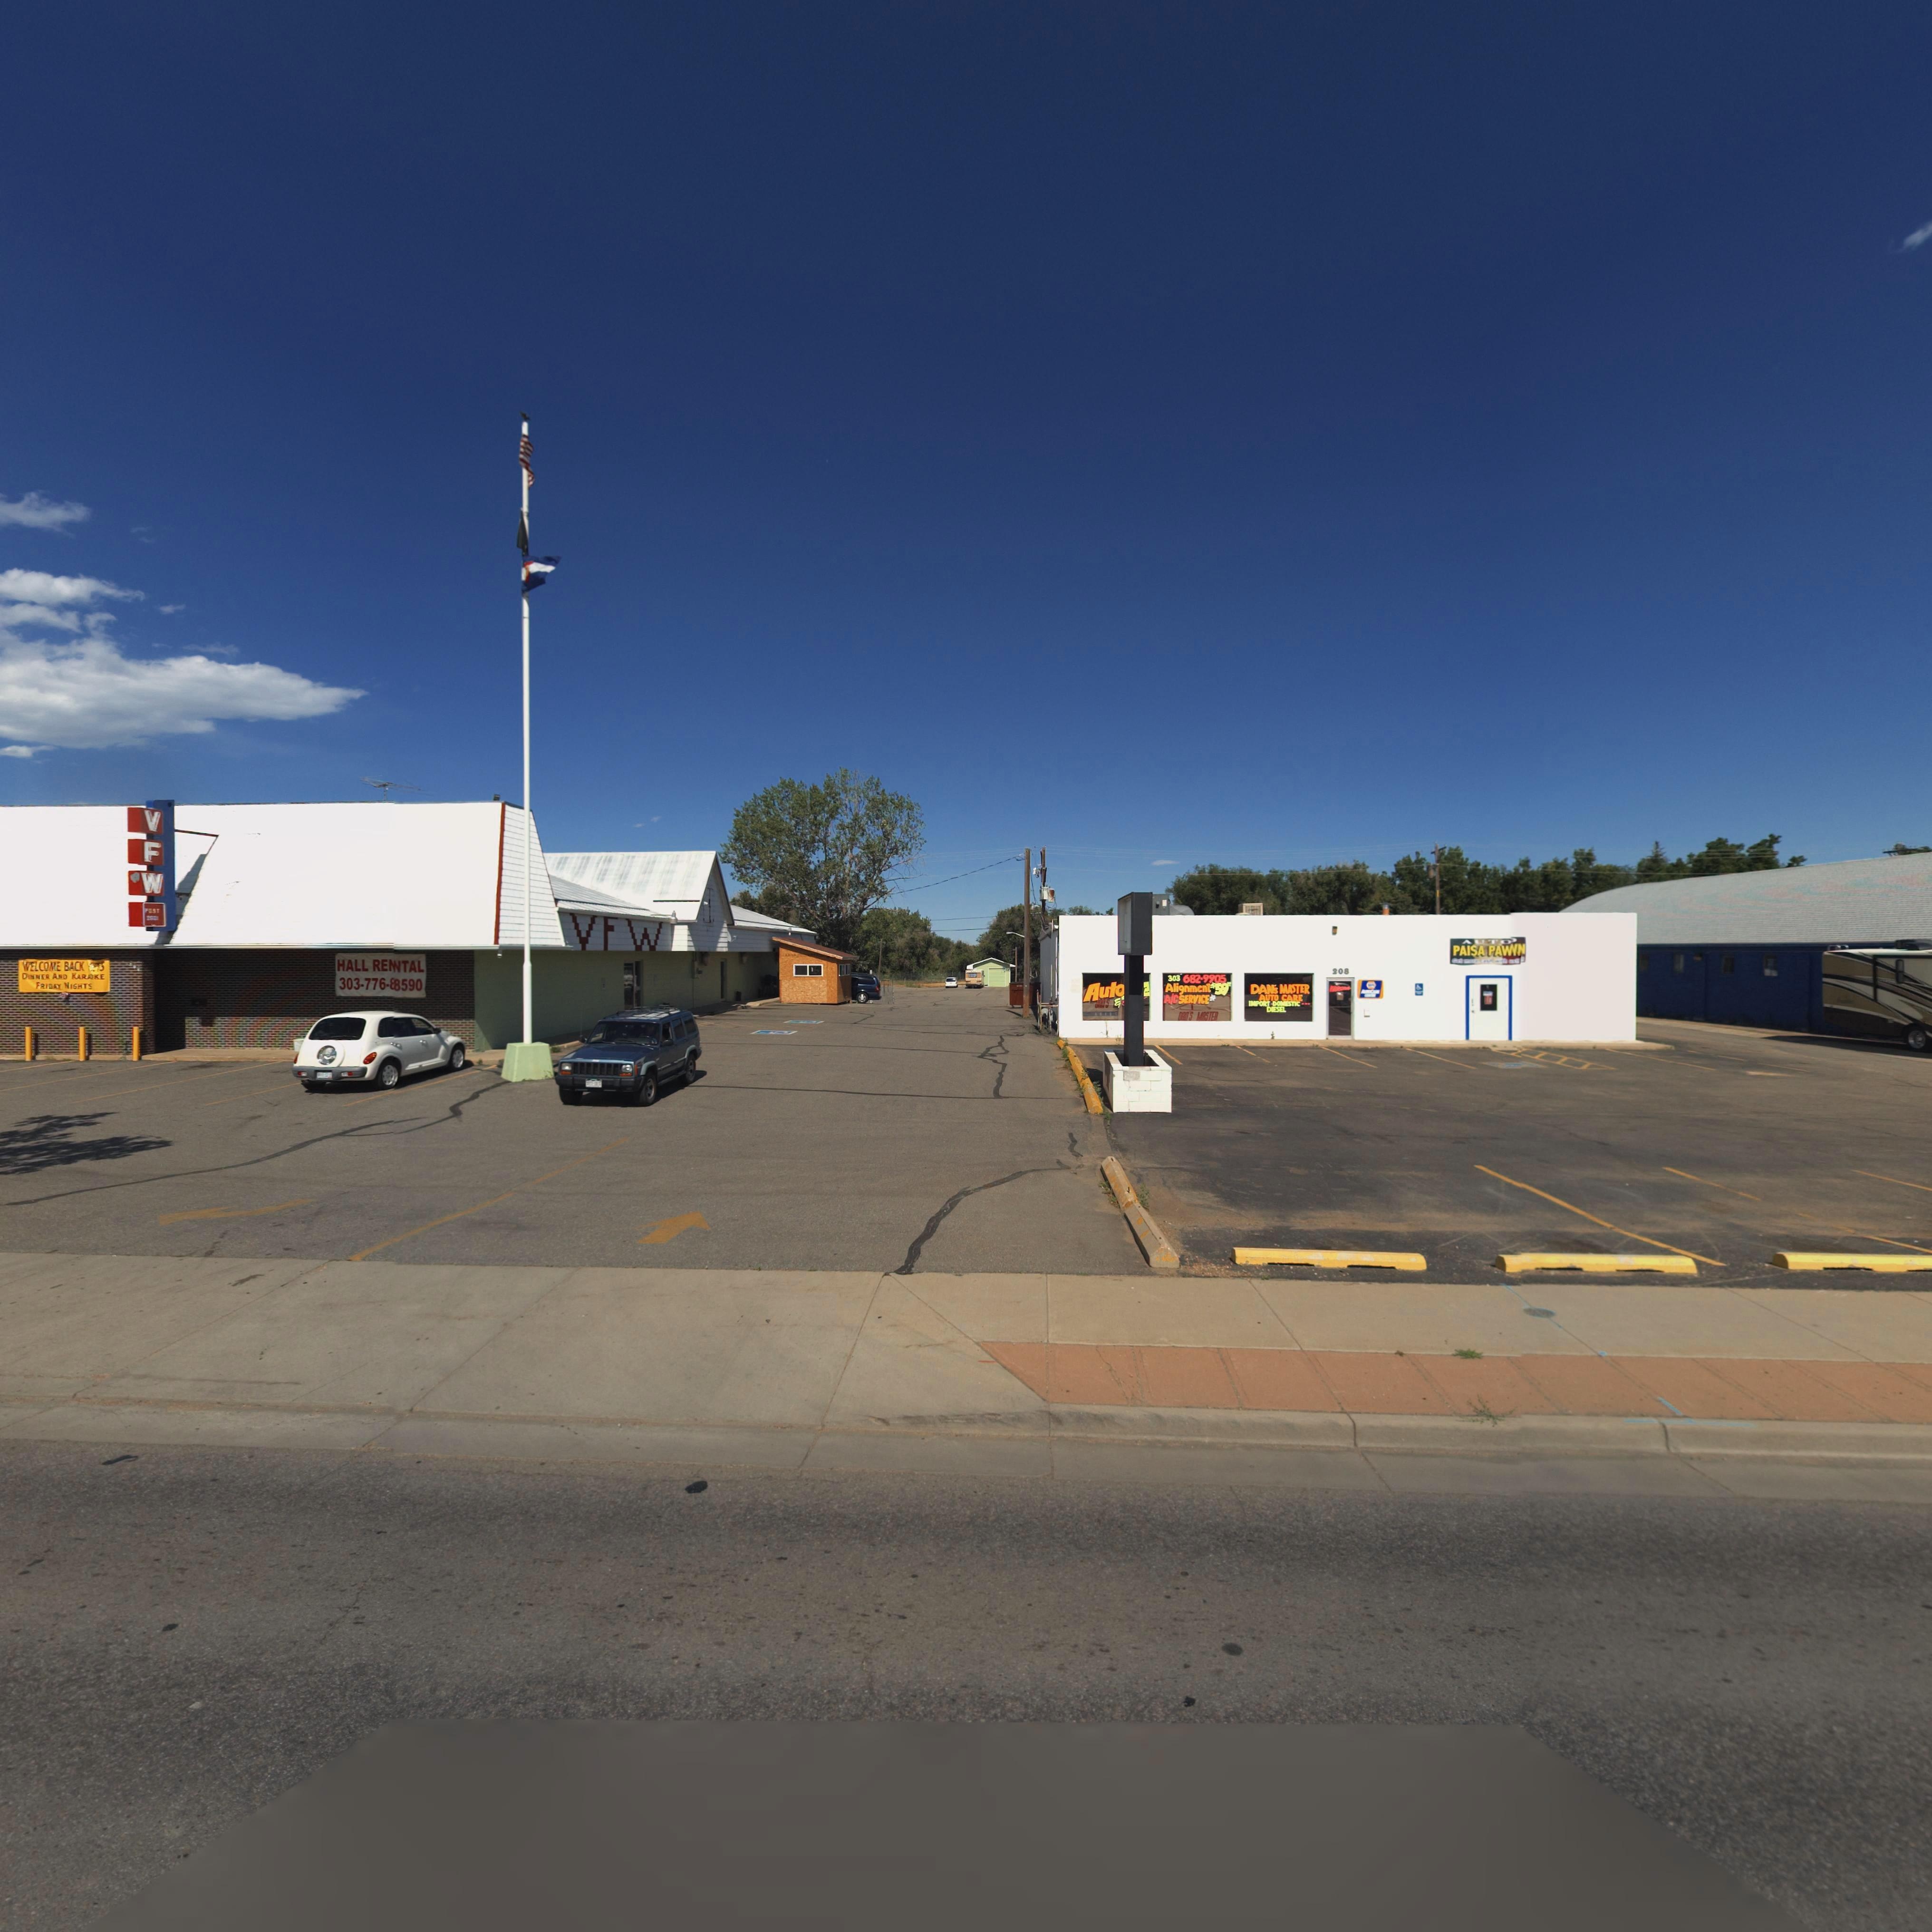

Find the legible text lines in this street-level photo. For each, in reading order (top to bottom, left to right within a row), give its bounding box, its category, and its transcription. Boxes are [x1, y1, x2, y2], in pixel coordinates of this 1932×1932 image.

[140, 809, 164, 894] BusinessName: VFW
[567, 912, 664, 952] BusinessName: VFW
[1332, 968, 1349, 975] StreetNumber: 208
[1249, 983, 1311, 995] BusinessName: DAN'S MASTER
[1258, 994, 1303, 1001] BusinessName: AUTO CARE
[1178, 1011, 1219, 1021] BusinessName: DAN'S MASTER